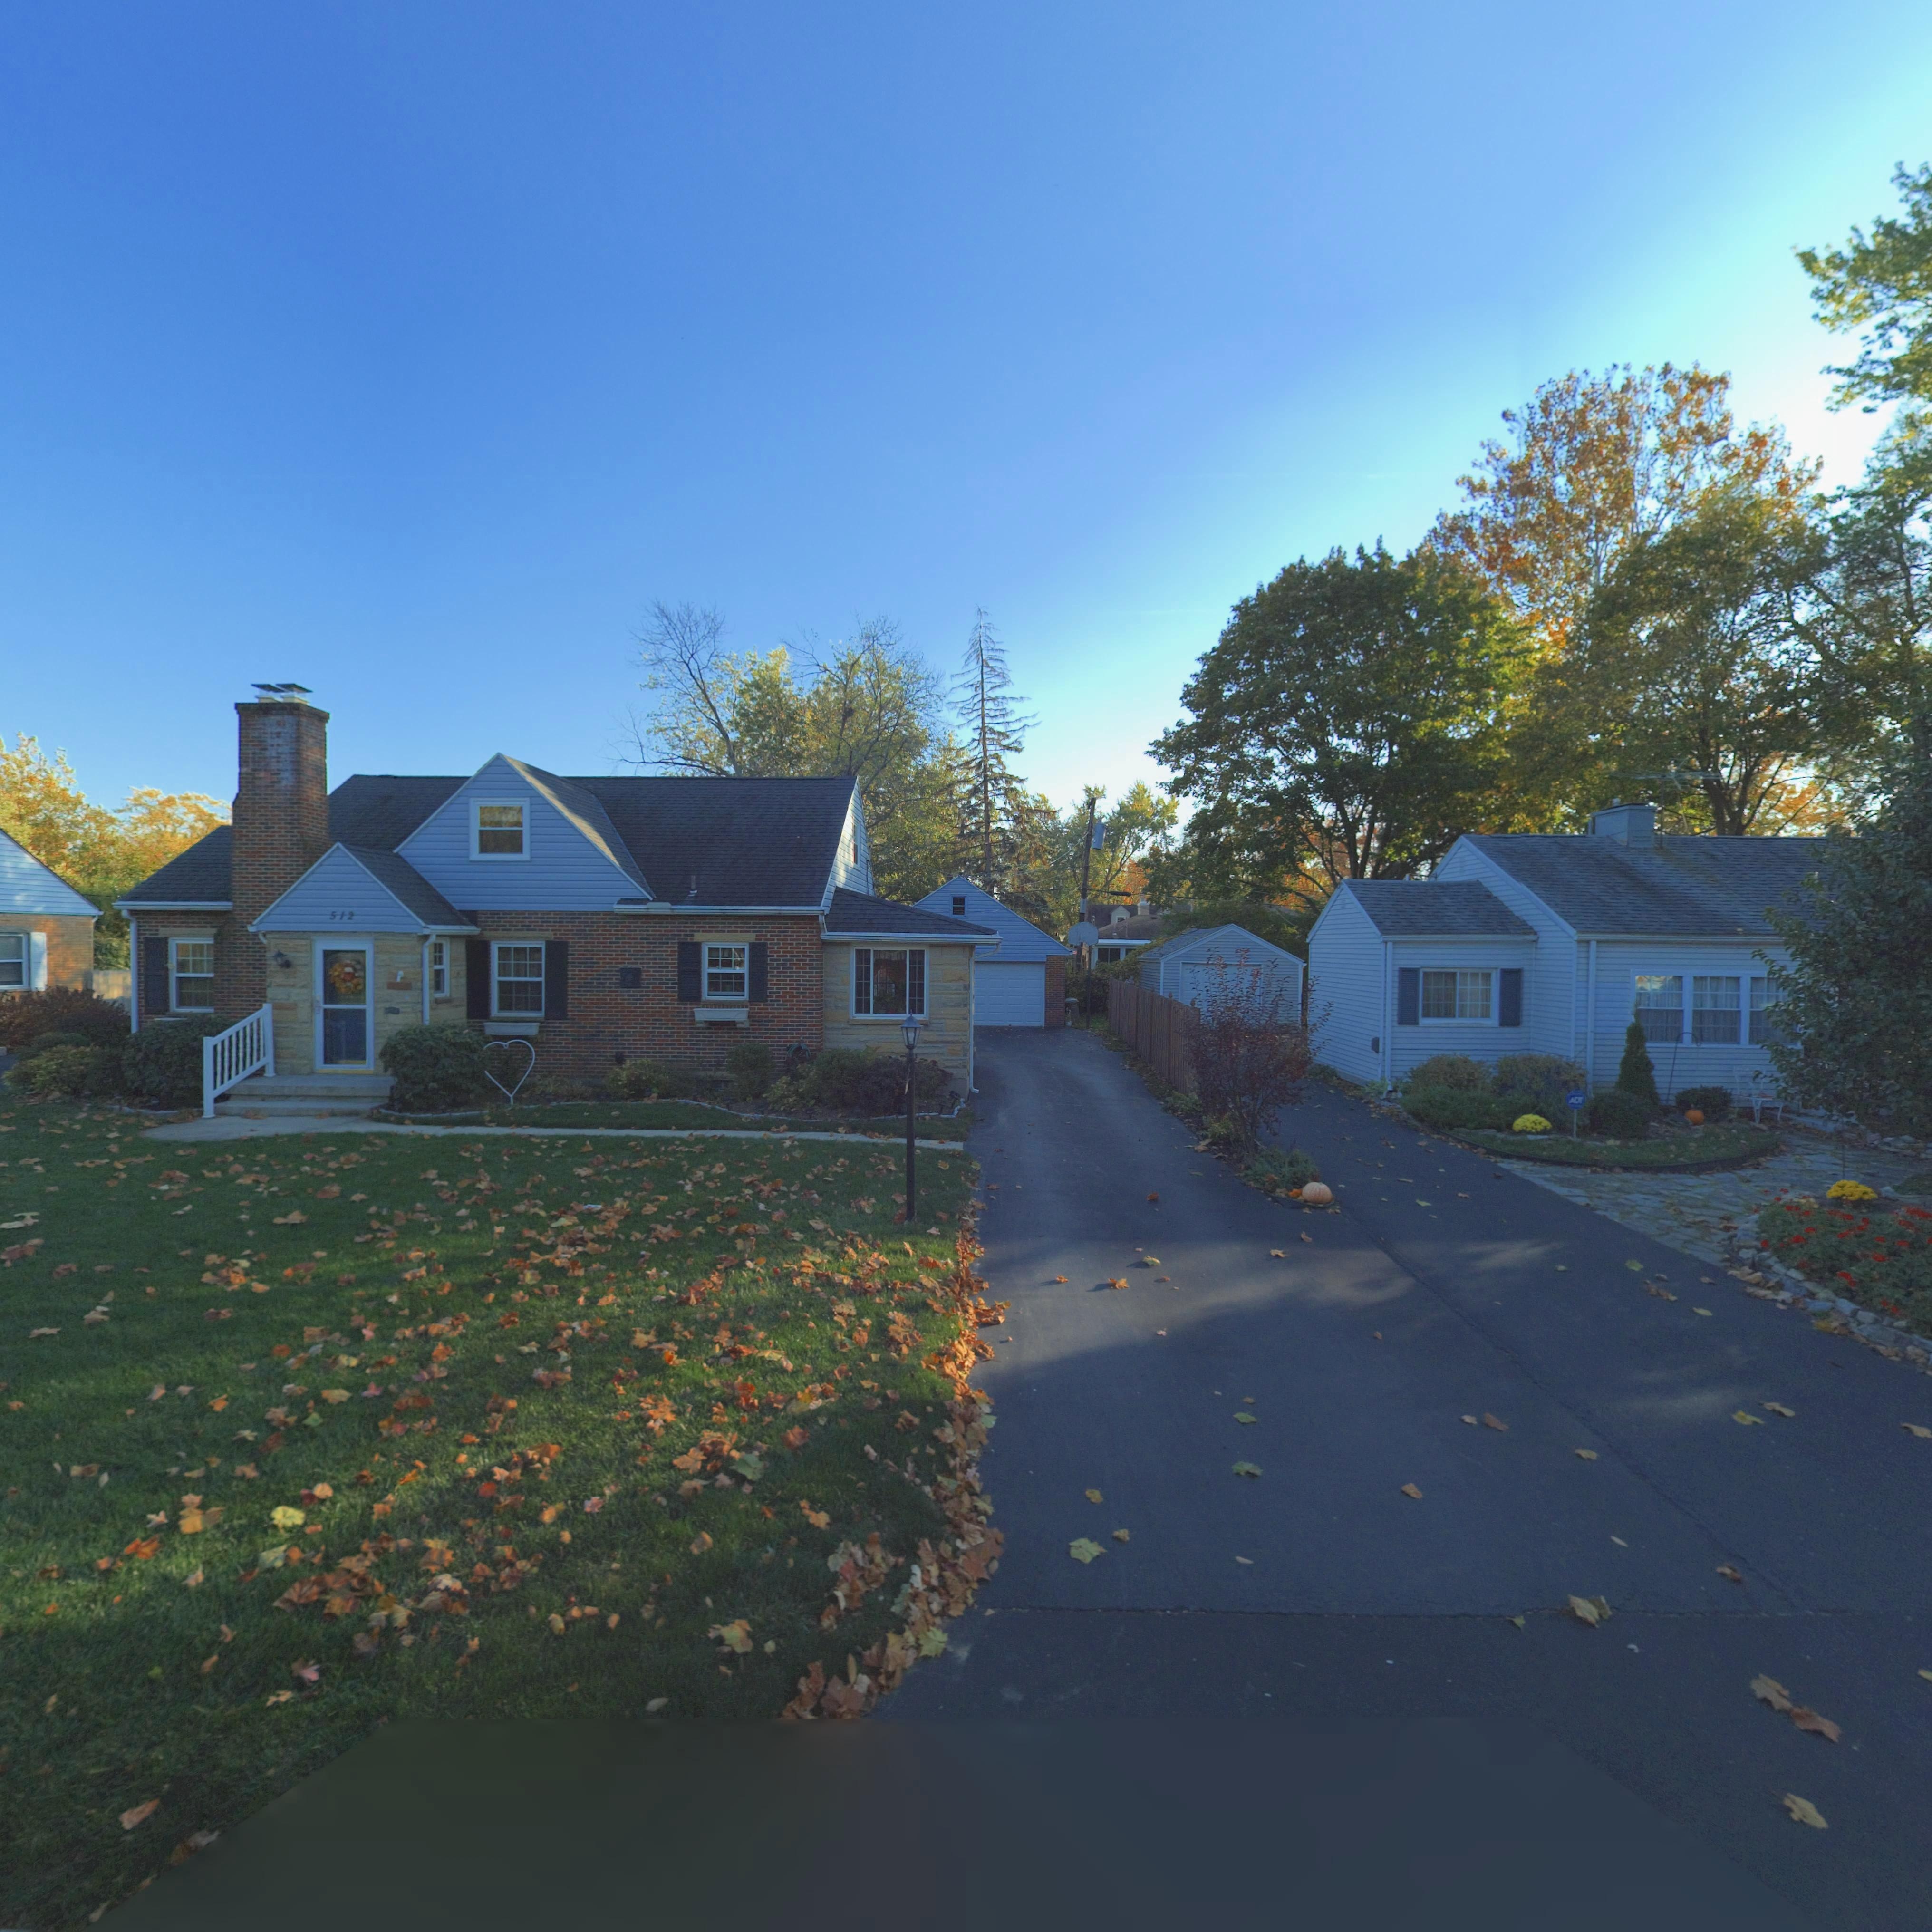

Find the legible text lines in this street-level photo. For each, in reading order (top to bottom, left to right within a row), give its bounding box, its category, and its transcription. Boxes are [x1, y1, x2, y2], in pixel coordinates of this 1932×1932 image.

[328, 911, 355, 921] StreetNumber: 512